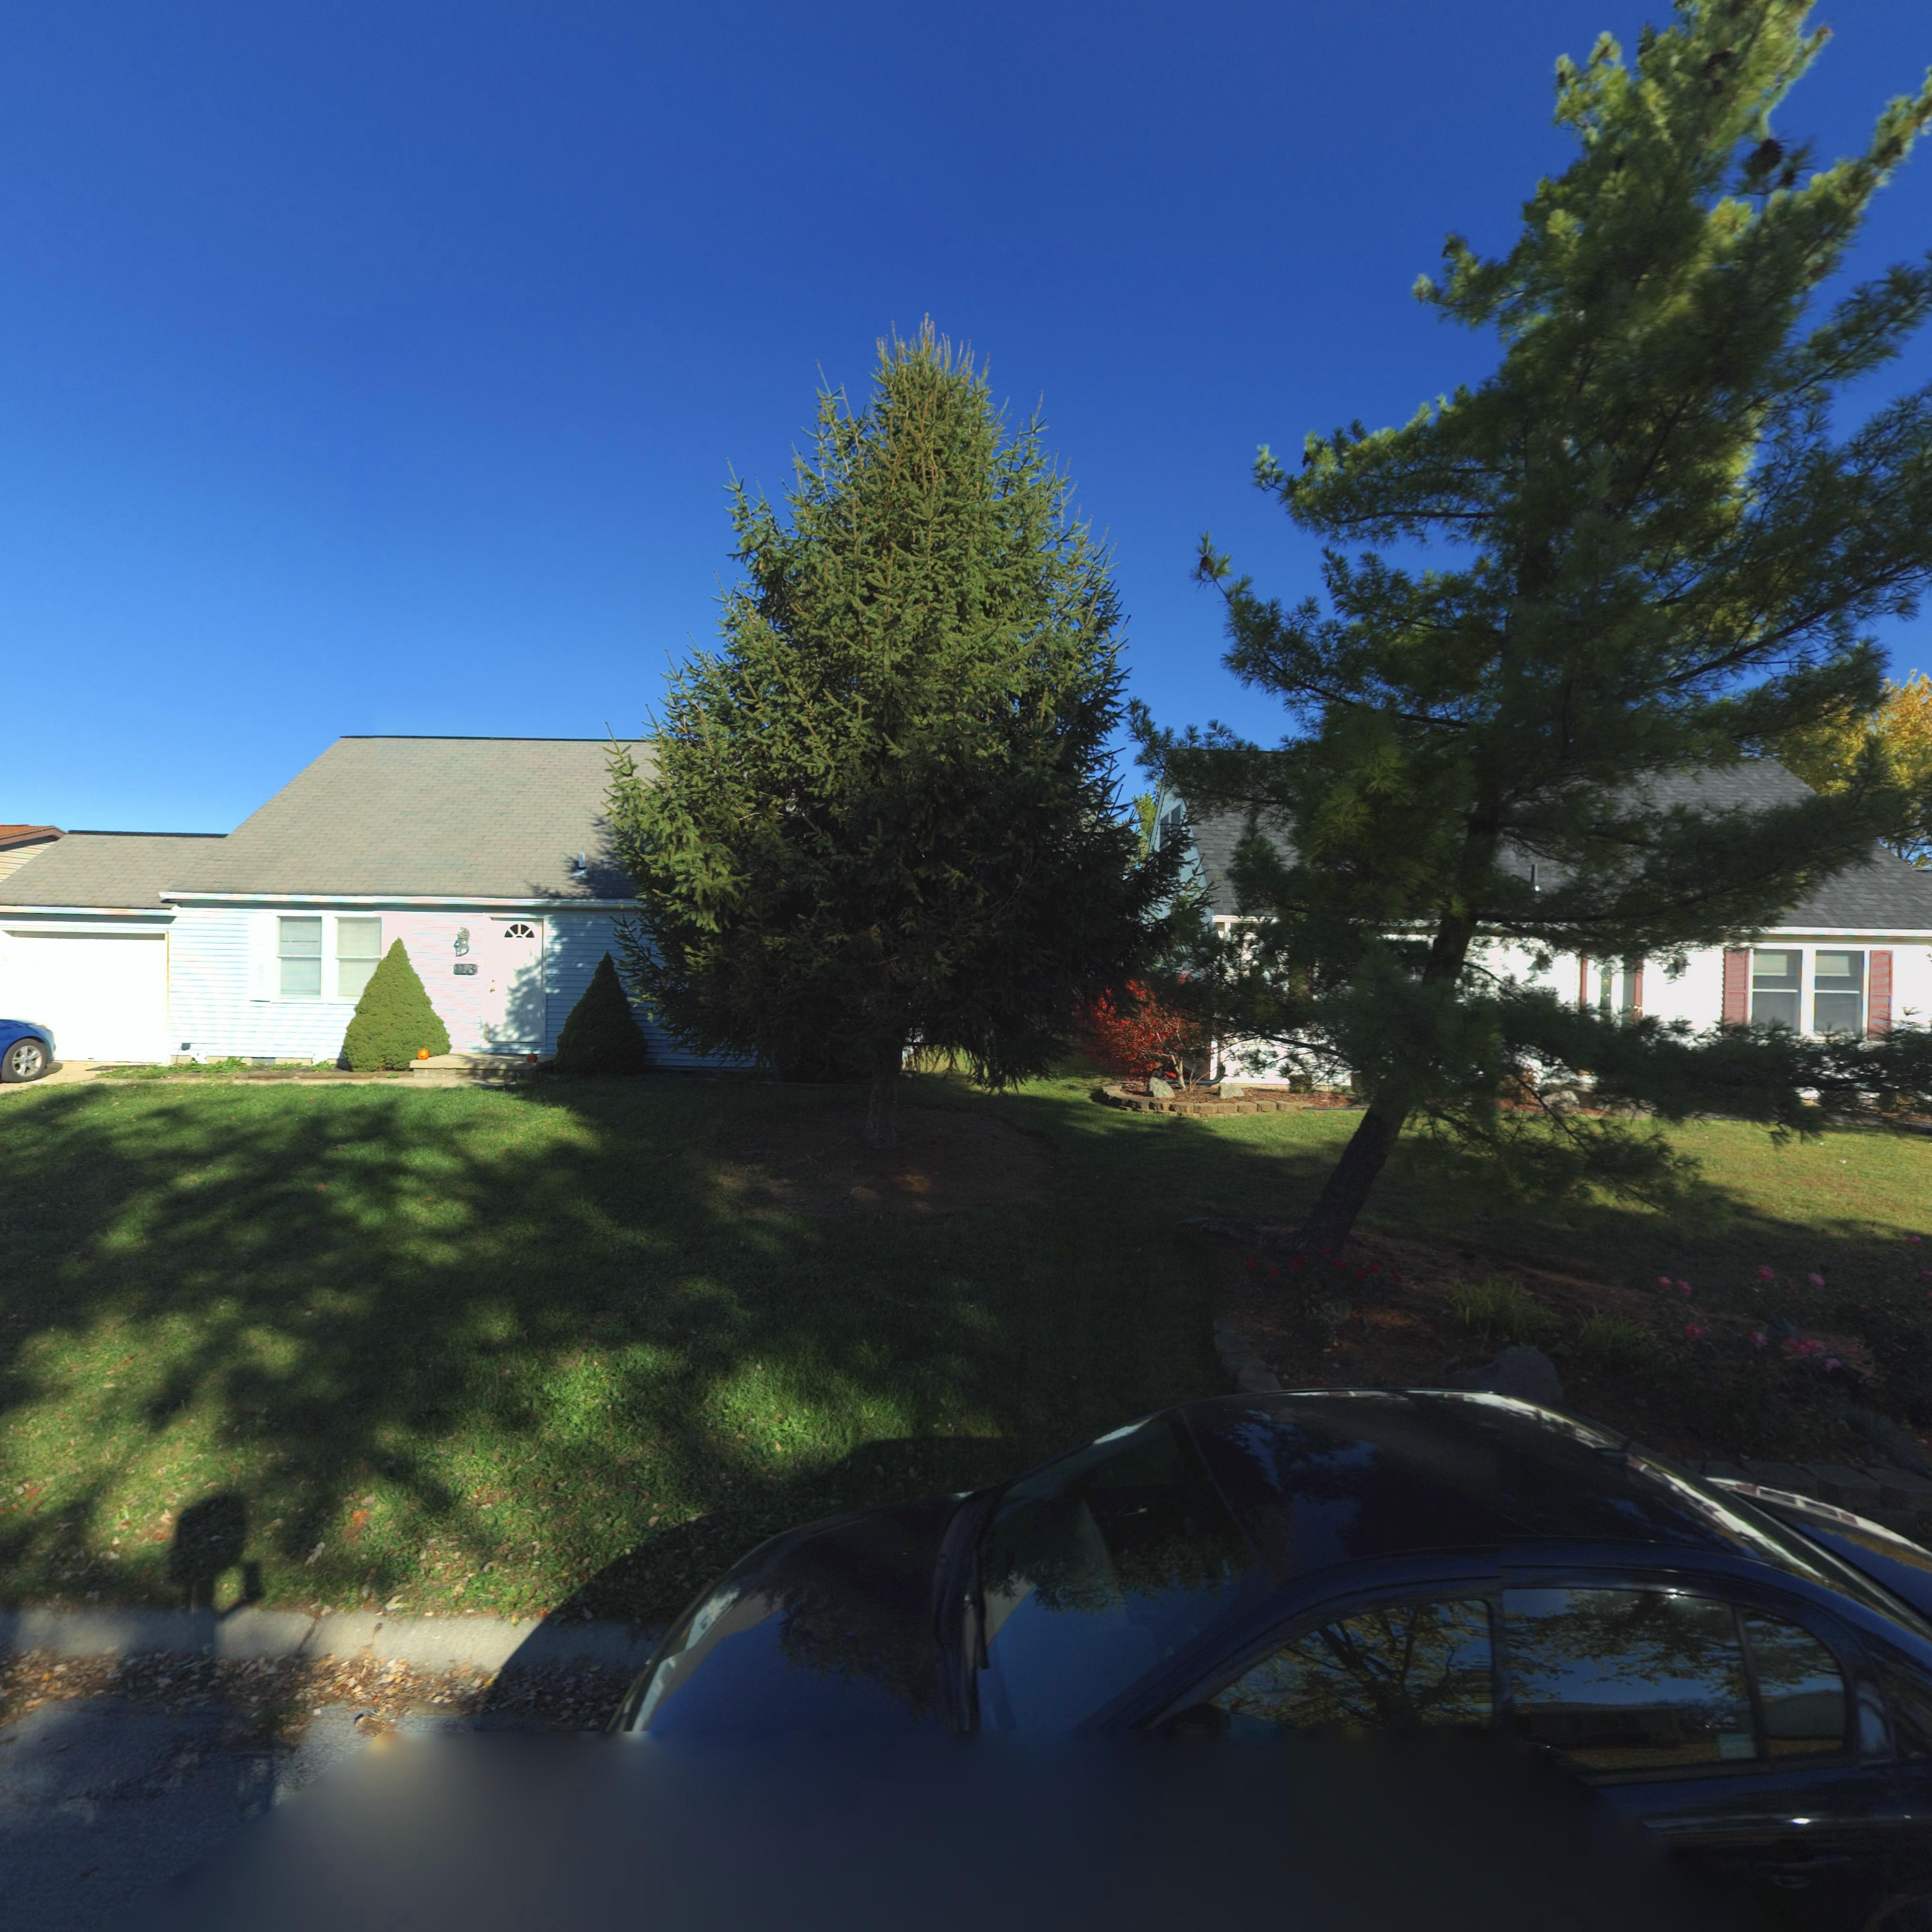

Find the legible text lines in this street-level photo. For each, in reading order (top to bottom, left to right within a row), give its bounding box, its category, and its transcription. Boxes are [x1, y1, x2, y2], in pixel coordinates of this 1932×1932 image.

[454, 963, 475, 975] StreetNumber: 113